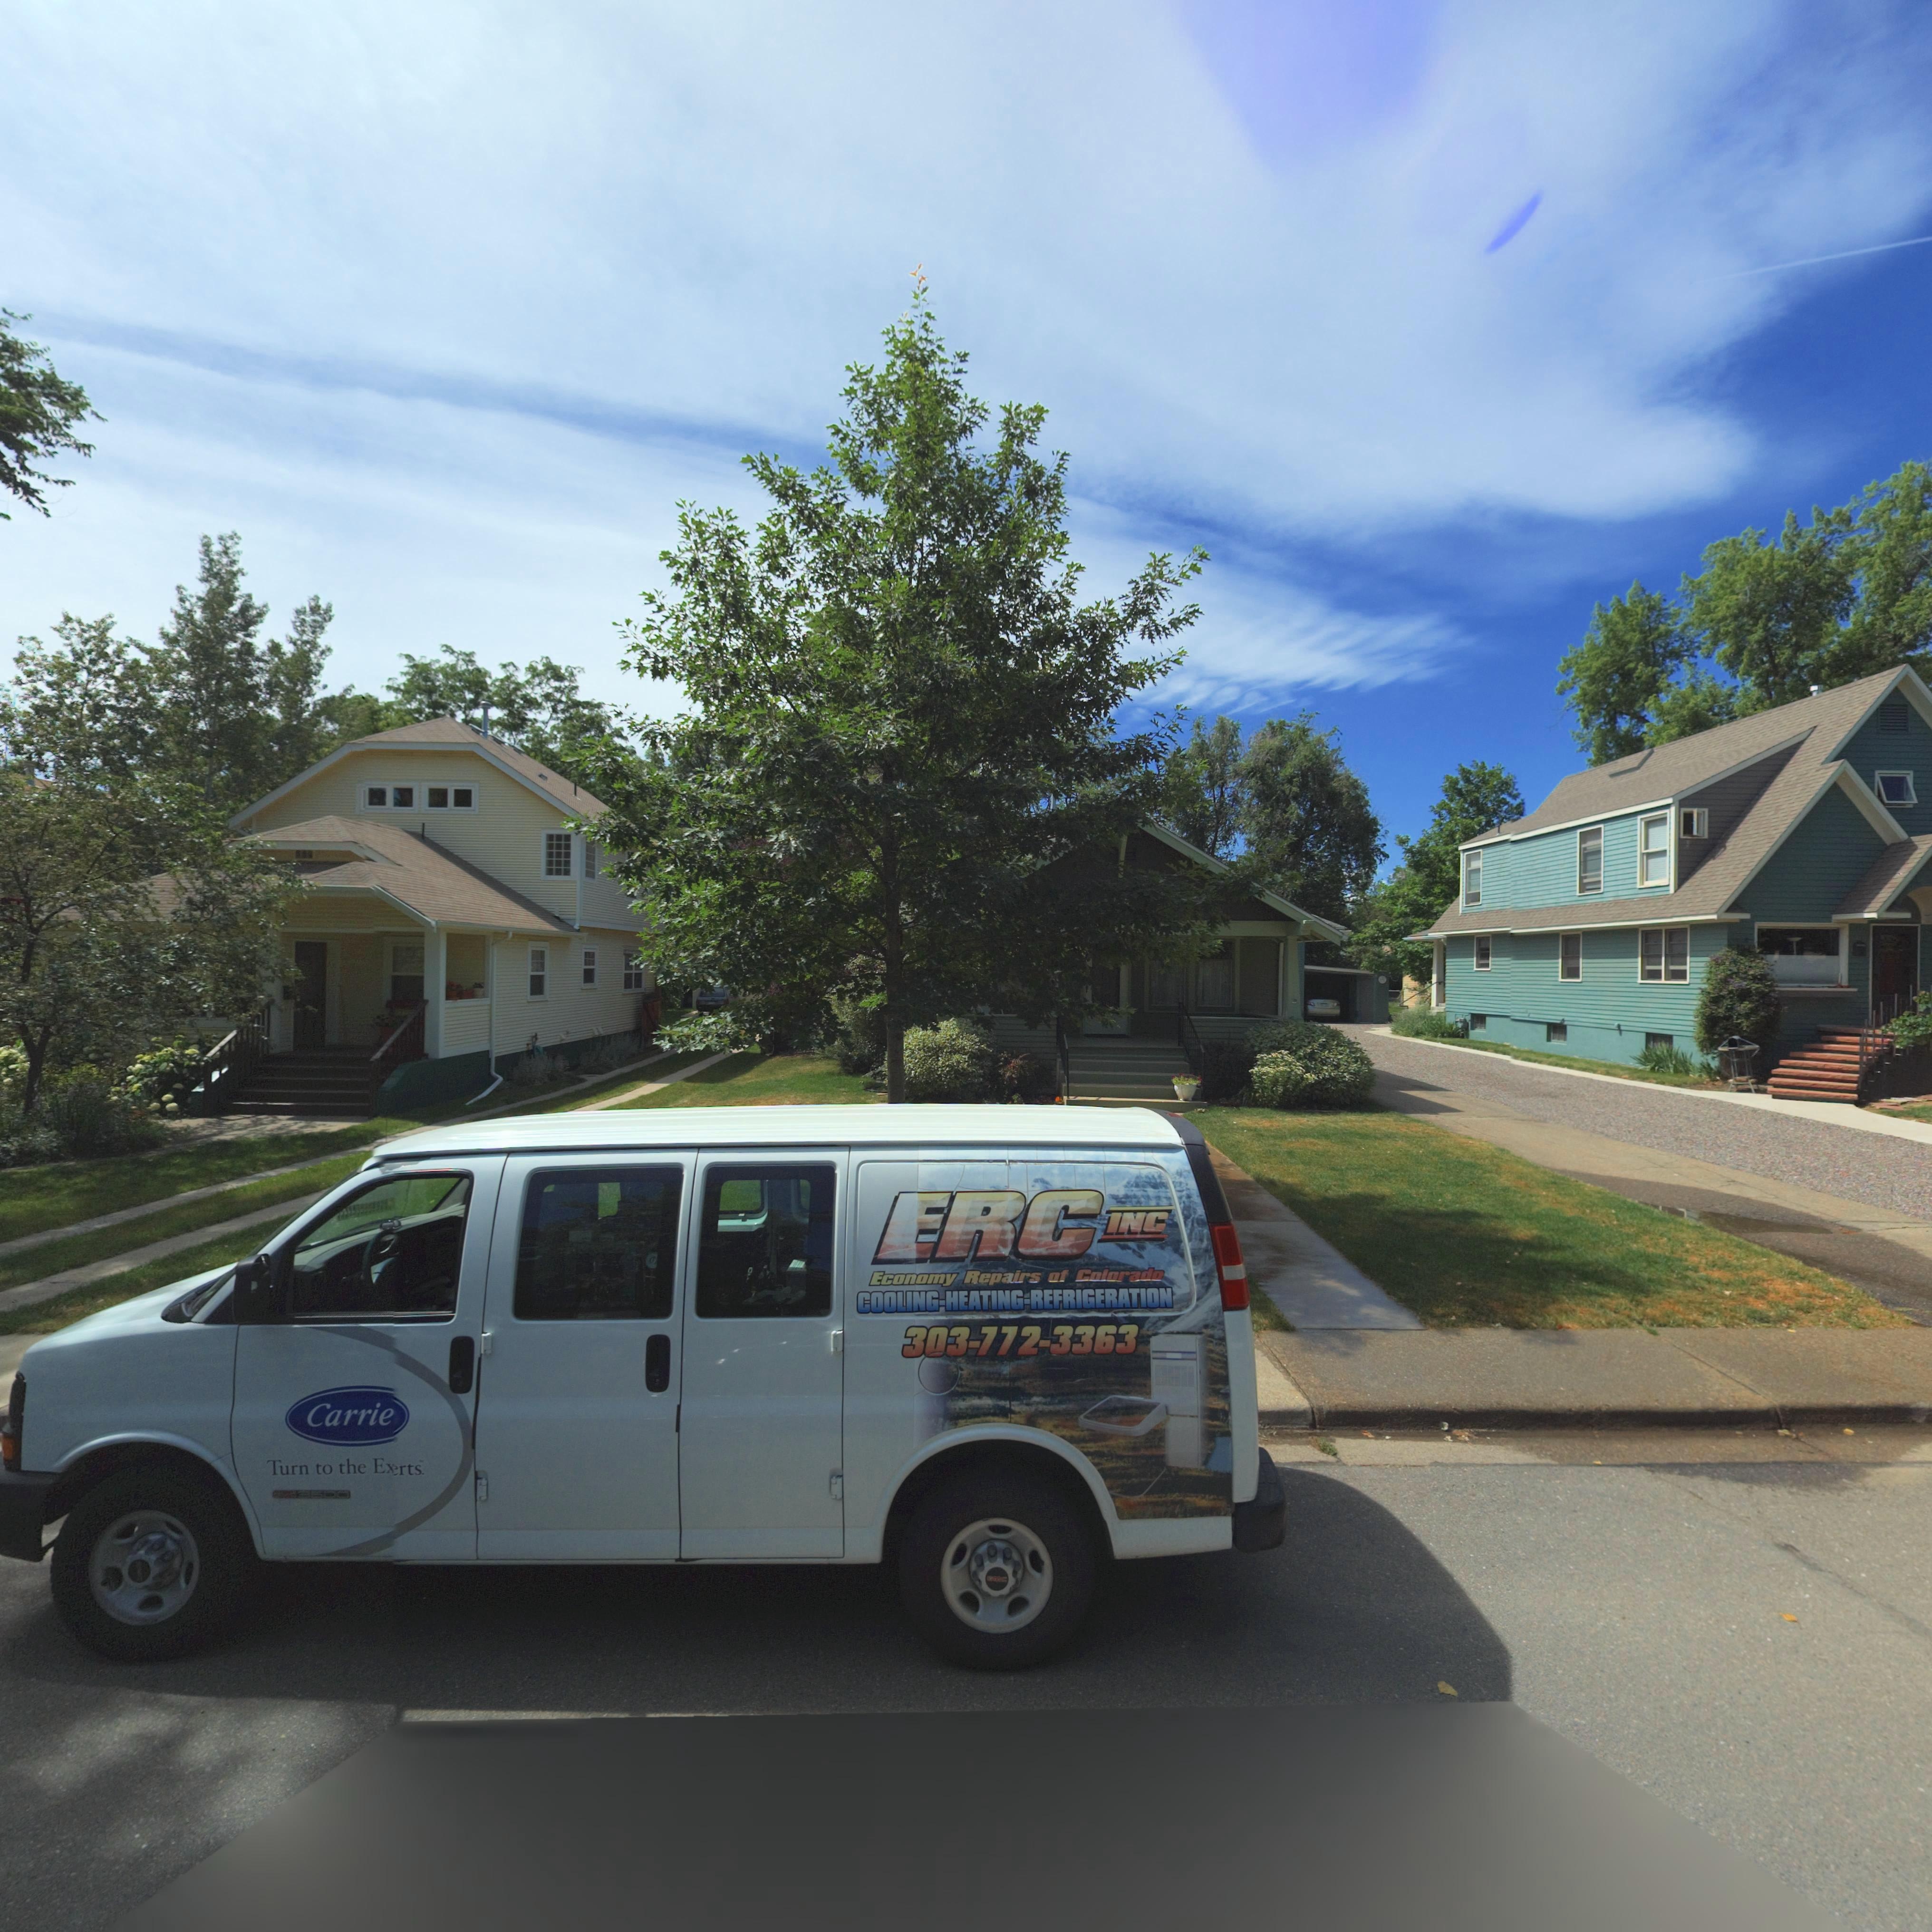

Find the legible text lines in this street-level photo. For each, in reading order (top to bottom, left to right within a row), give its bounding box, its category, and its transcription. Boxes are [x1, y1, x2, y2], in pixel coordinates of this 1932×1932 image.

[260, 975, 276, 982] StreetNumber: 12**